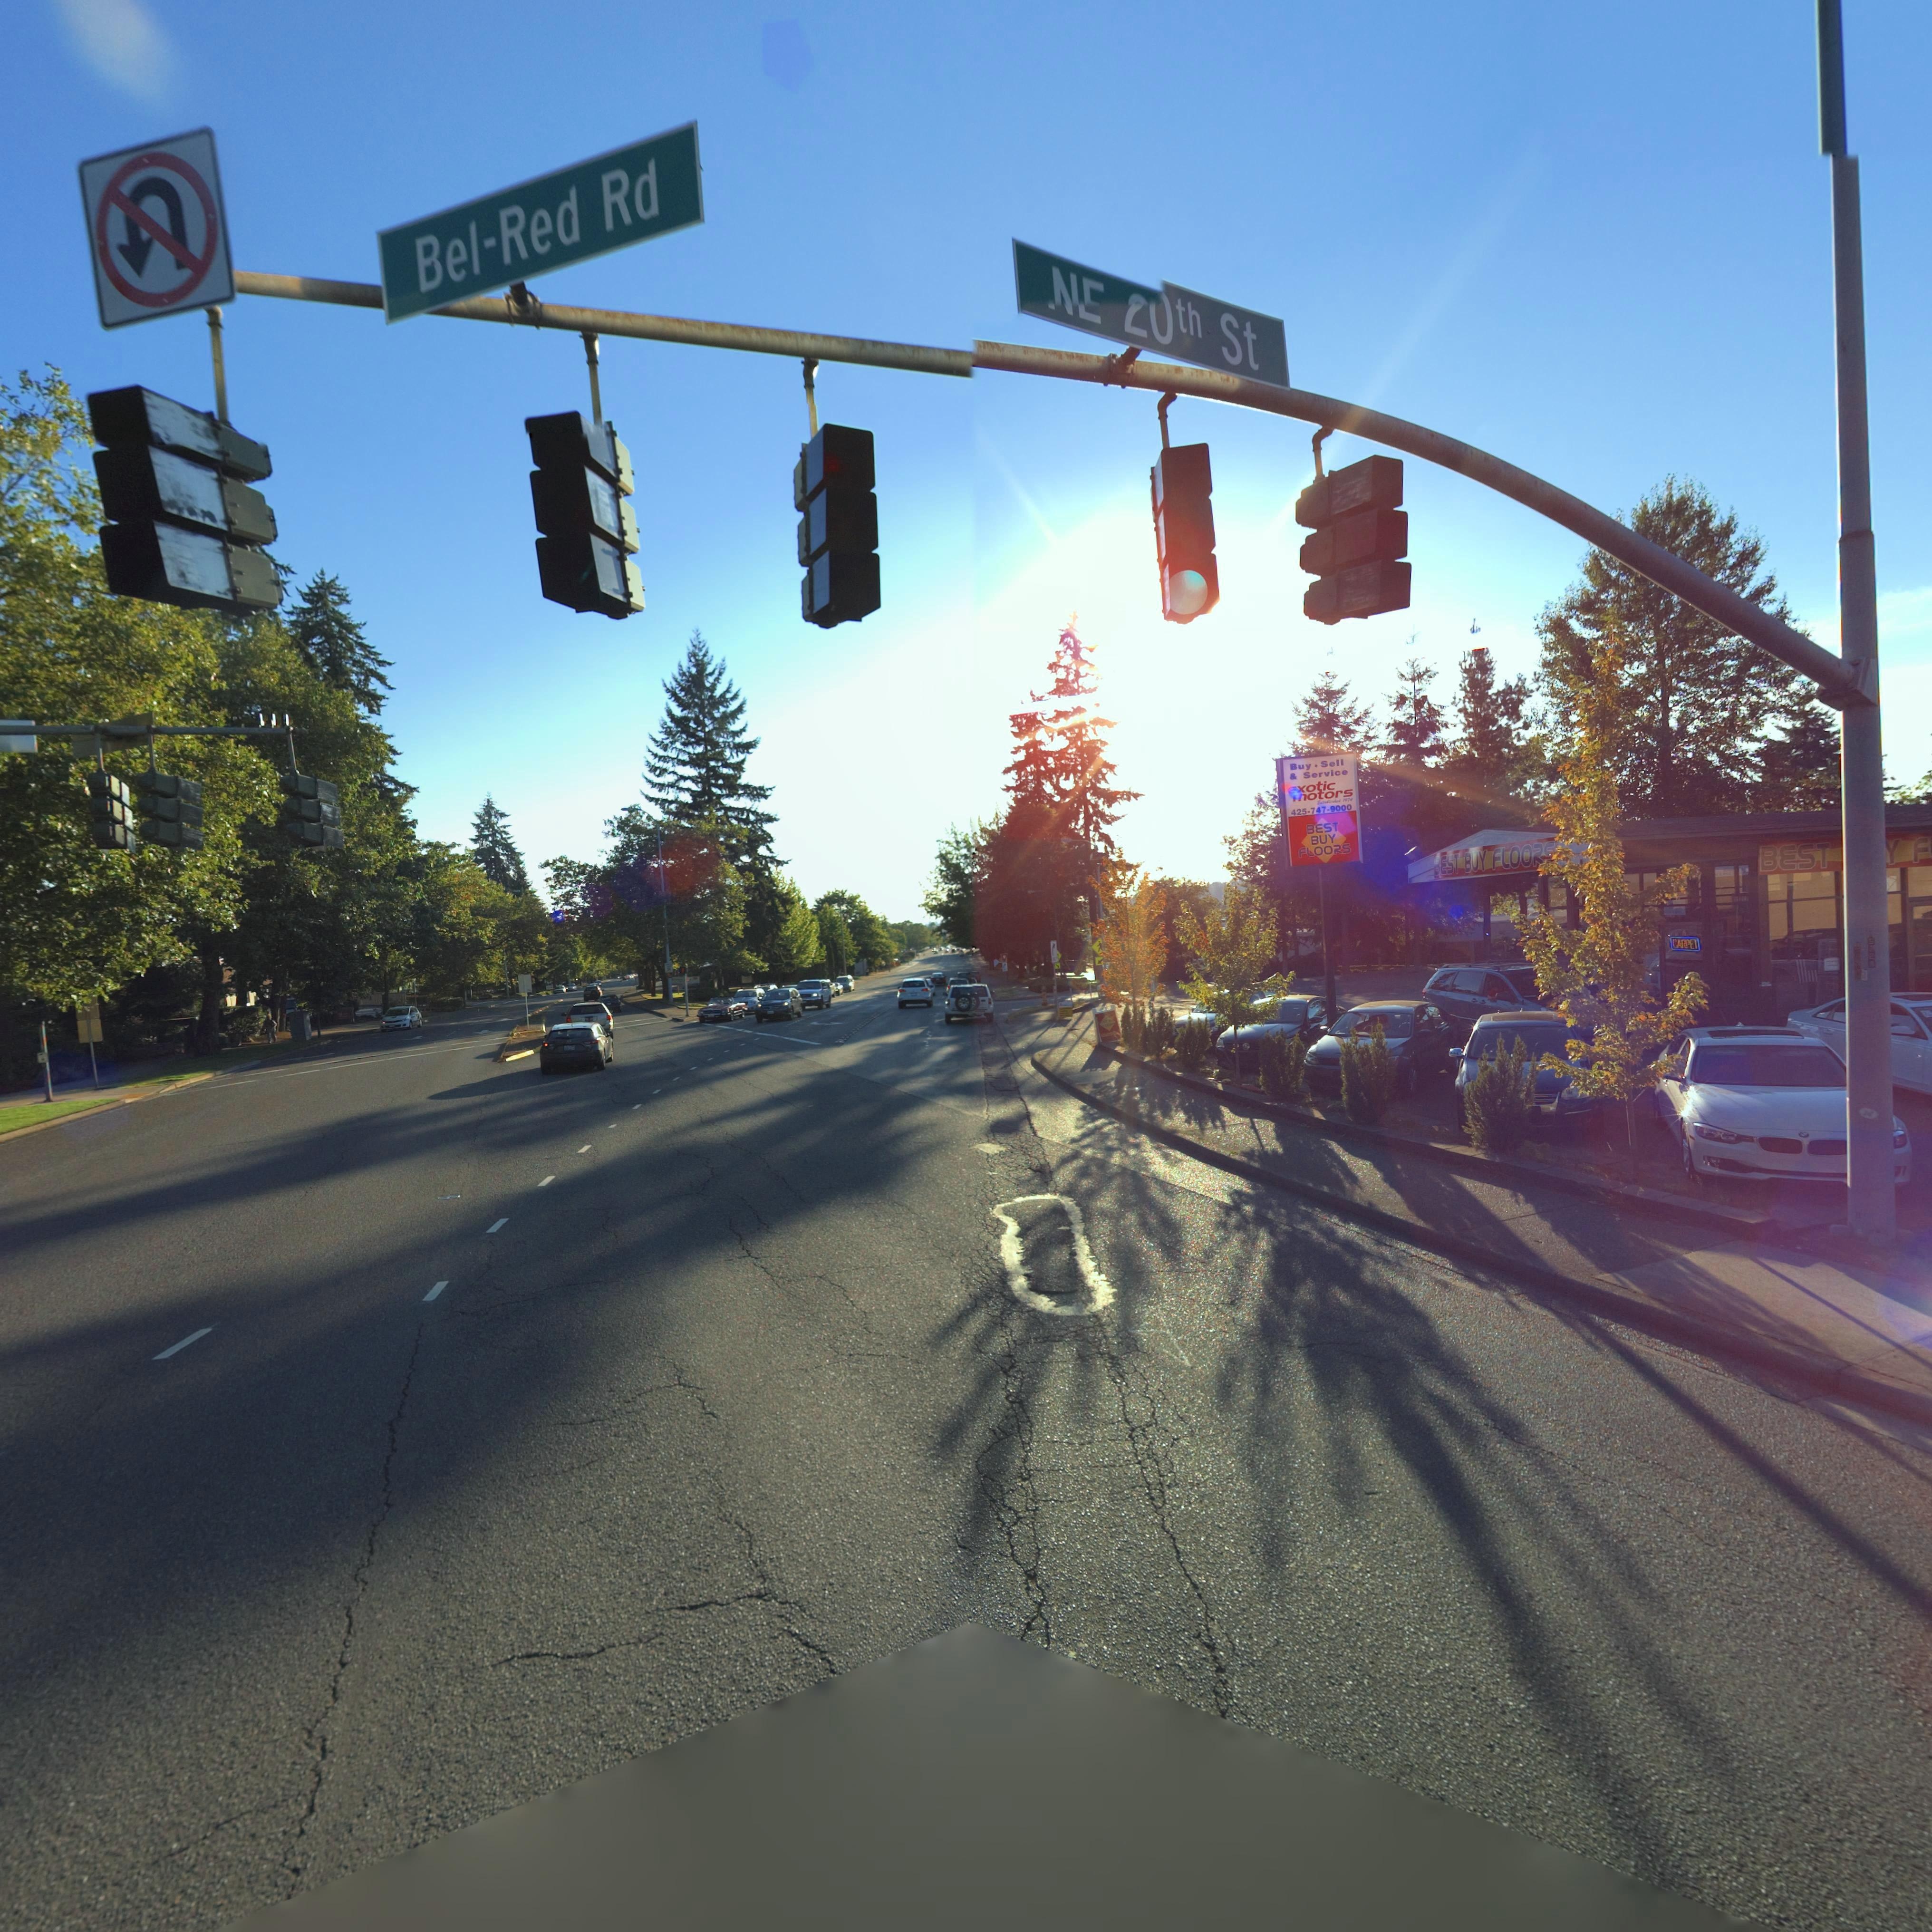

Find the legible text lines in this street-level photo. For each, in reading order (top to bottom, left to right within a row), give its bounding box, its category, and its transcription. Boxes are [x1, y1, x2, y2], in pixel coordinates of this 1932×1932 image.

[410, 151, 665, 300] StreetName: Bel-Red Rd
[1047, 262, 1260, 374] StreetName: ** *0th St
[1287, 780, 1339, 795] BusinessName: Exotic
[1292, 788, 1355, 802] BusinessName: Motors
[1304, 821, 1341, 836] BusinessName: BEST
[1309, 834, 1339, 846] BusinessName: BUY
[1297, 843, 1351, 858] BusinessName: FLOORS
[1430, 840, 1558, 876] BusinessName: BEST BUY FLOOR*